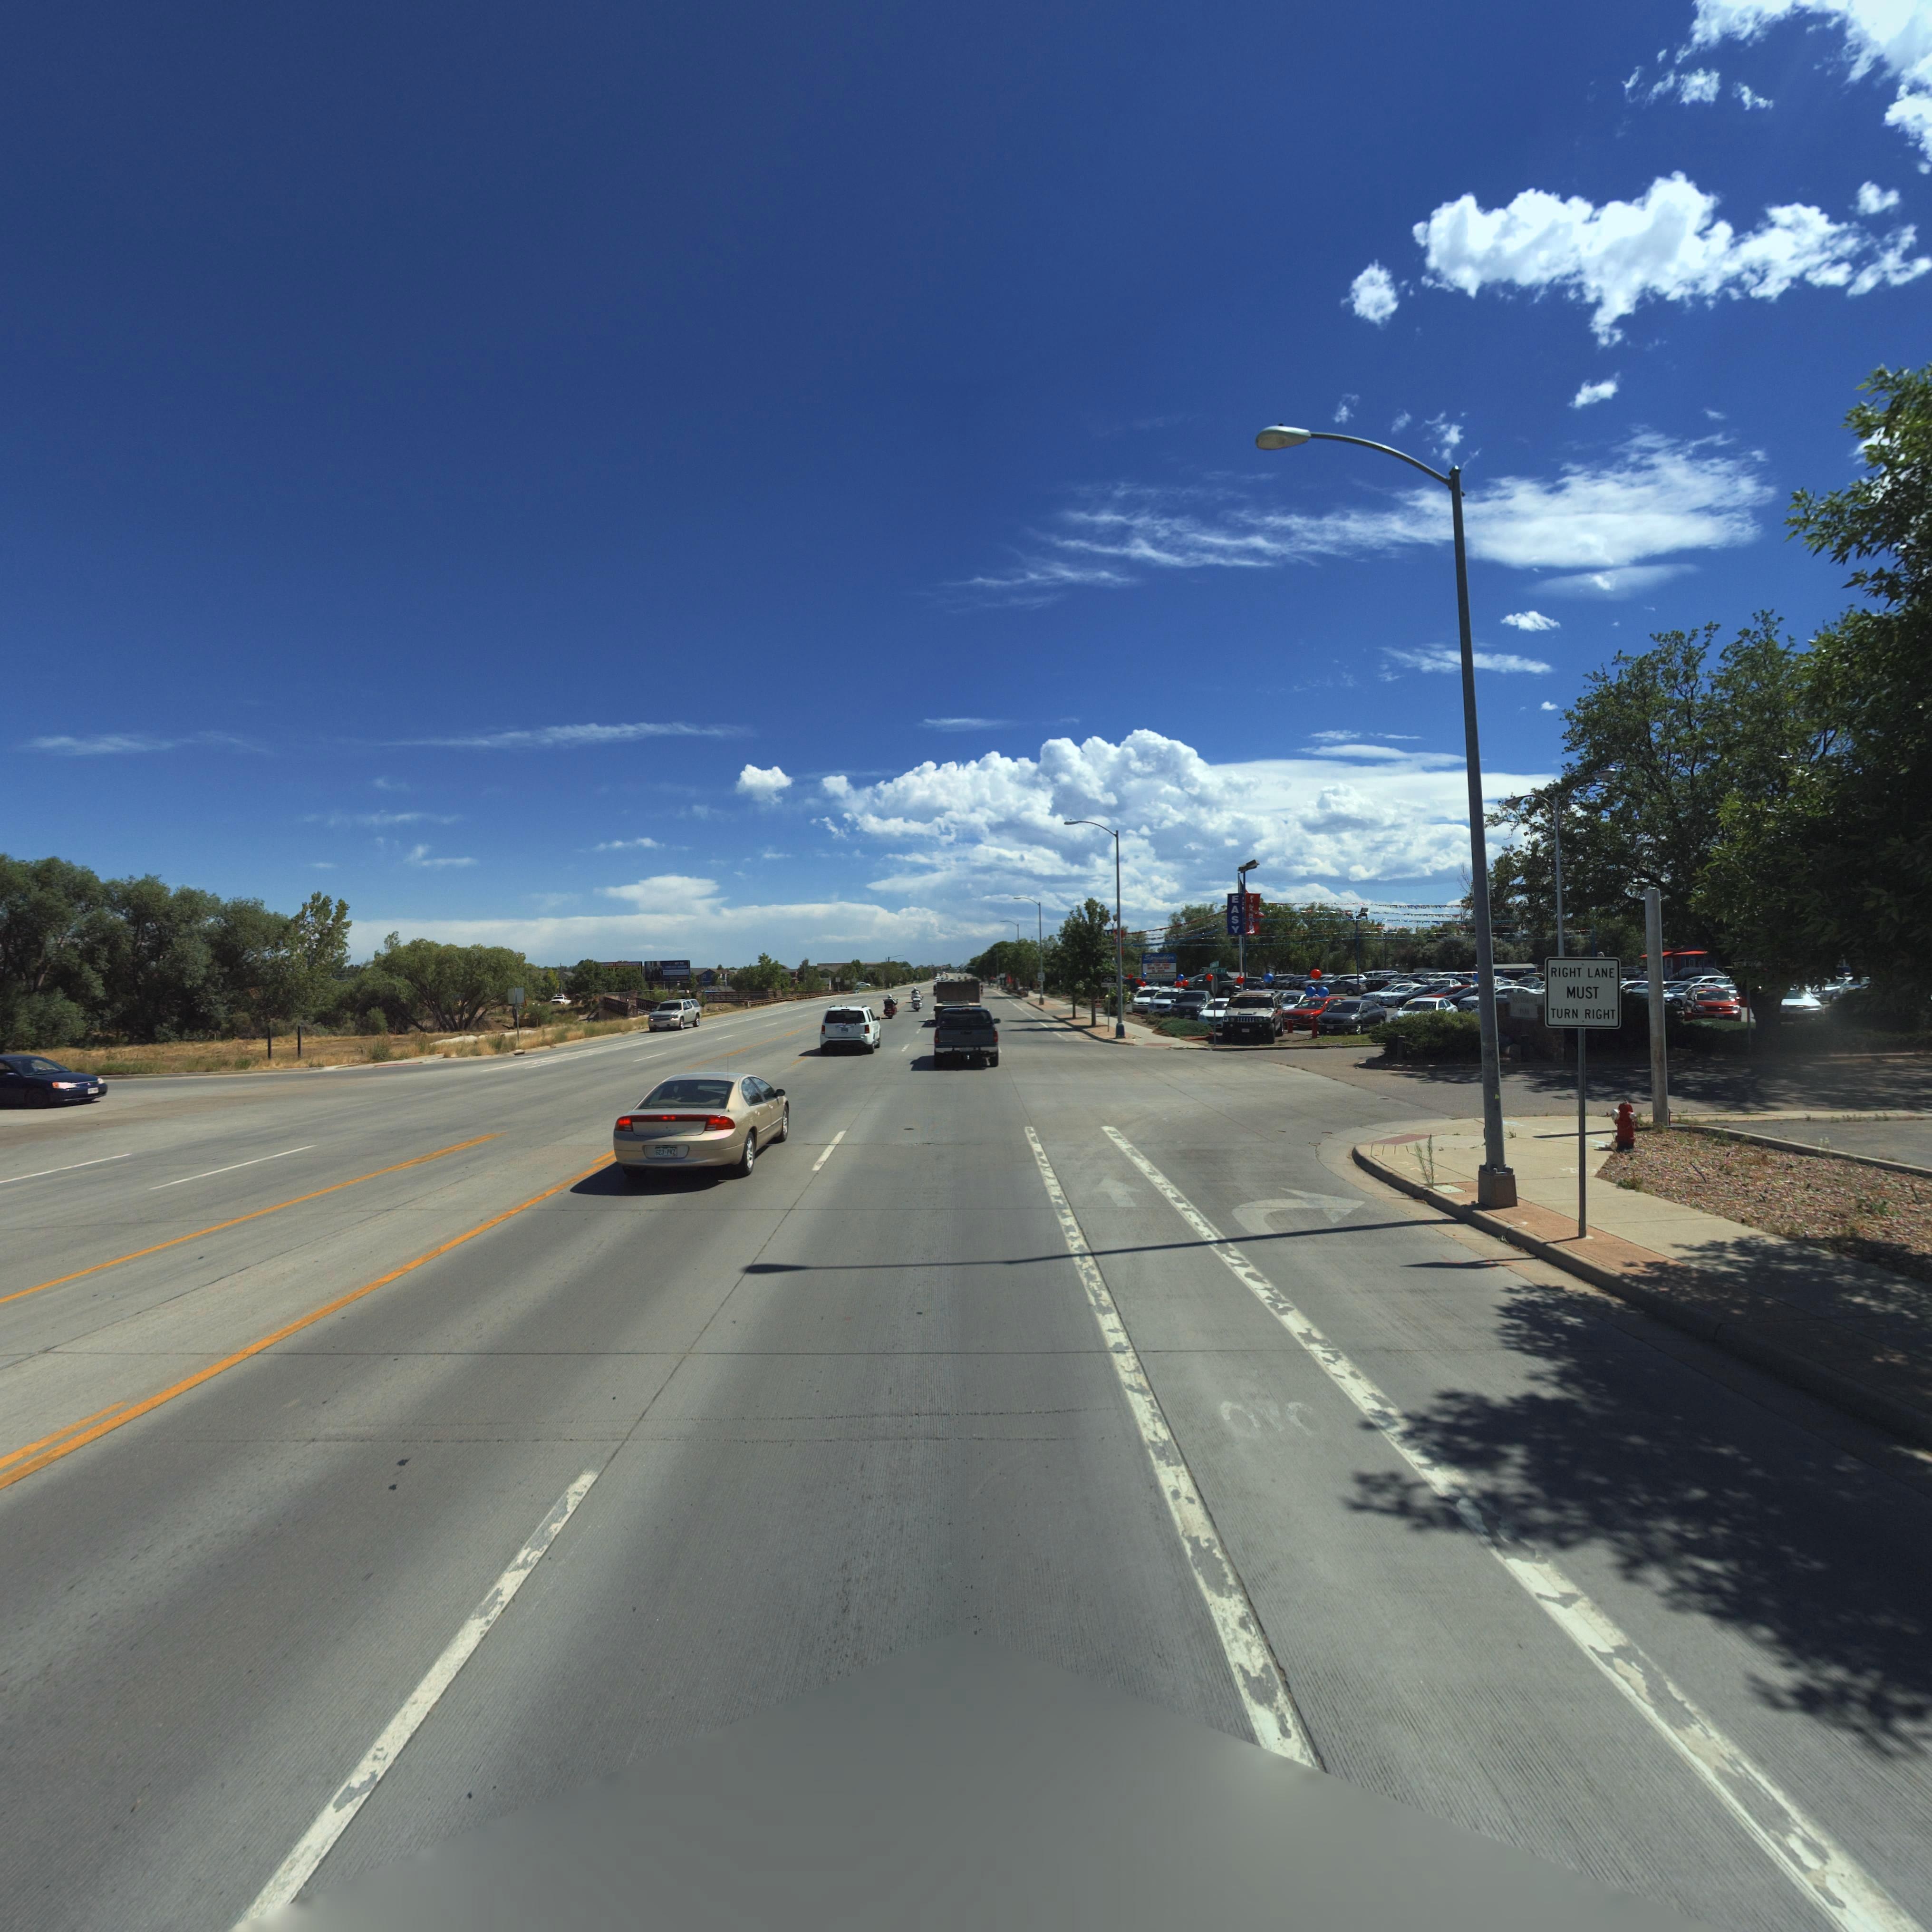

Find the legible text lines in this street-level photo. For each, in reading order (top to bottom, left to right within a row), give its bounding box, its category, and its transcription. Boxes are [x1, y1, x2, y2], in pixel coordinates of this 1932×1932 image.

[1143, 954, 1174, 961] BusinessName: Sp***kler
[1203, 968, 1225, 973] StreetName: J*RSEY A*